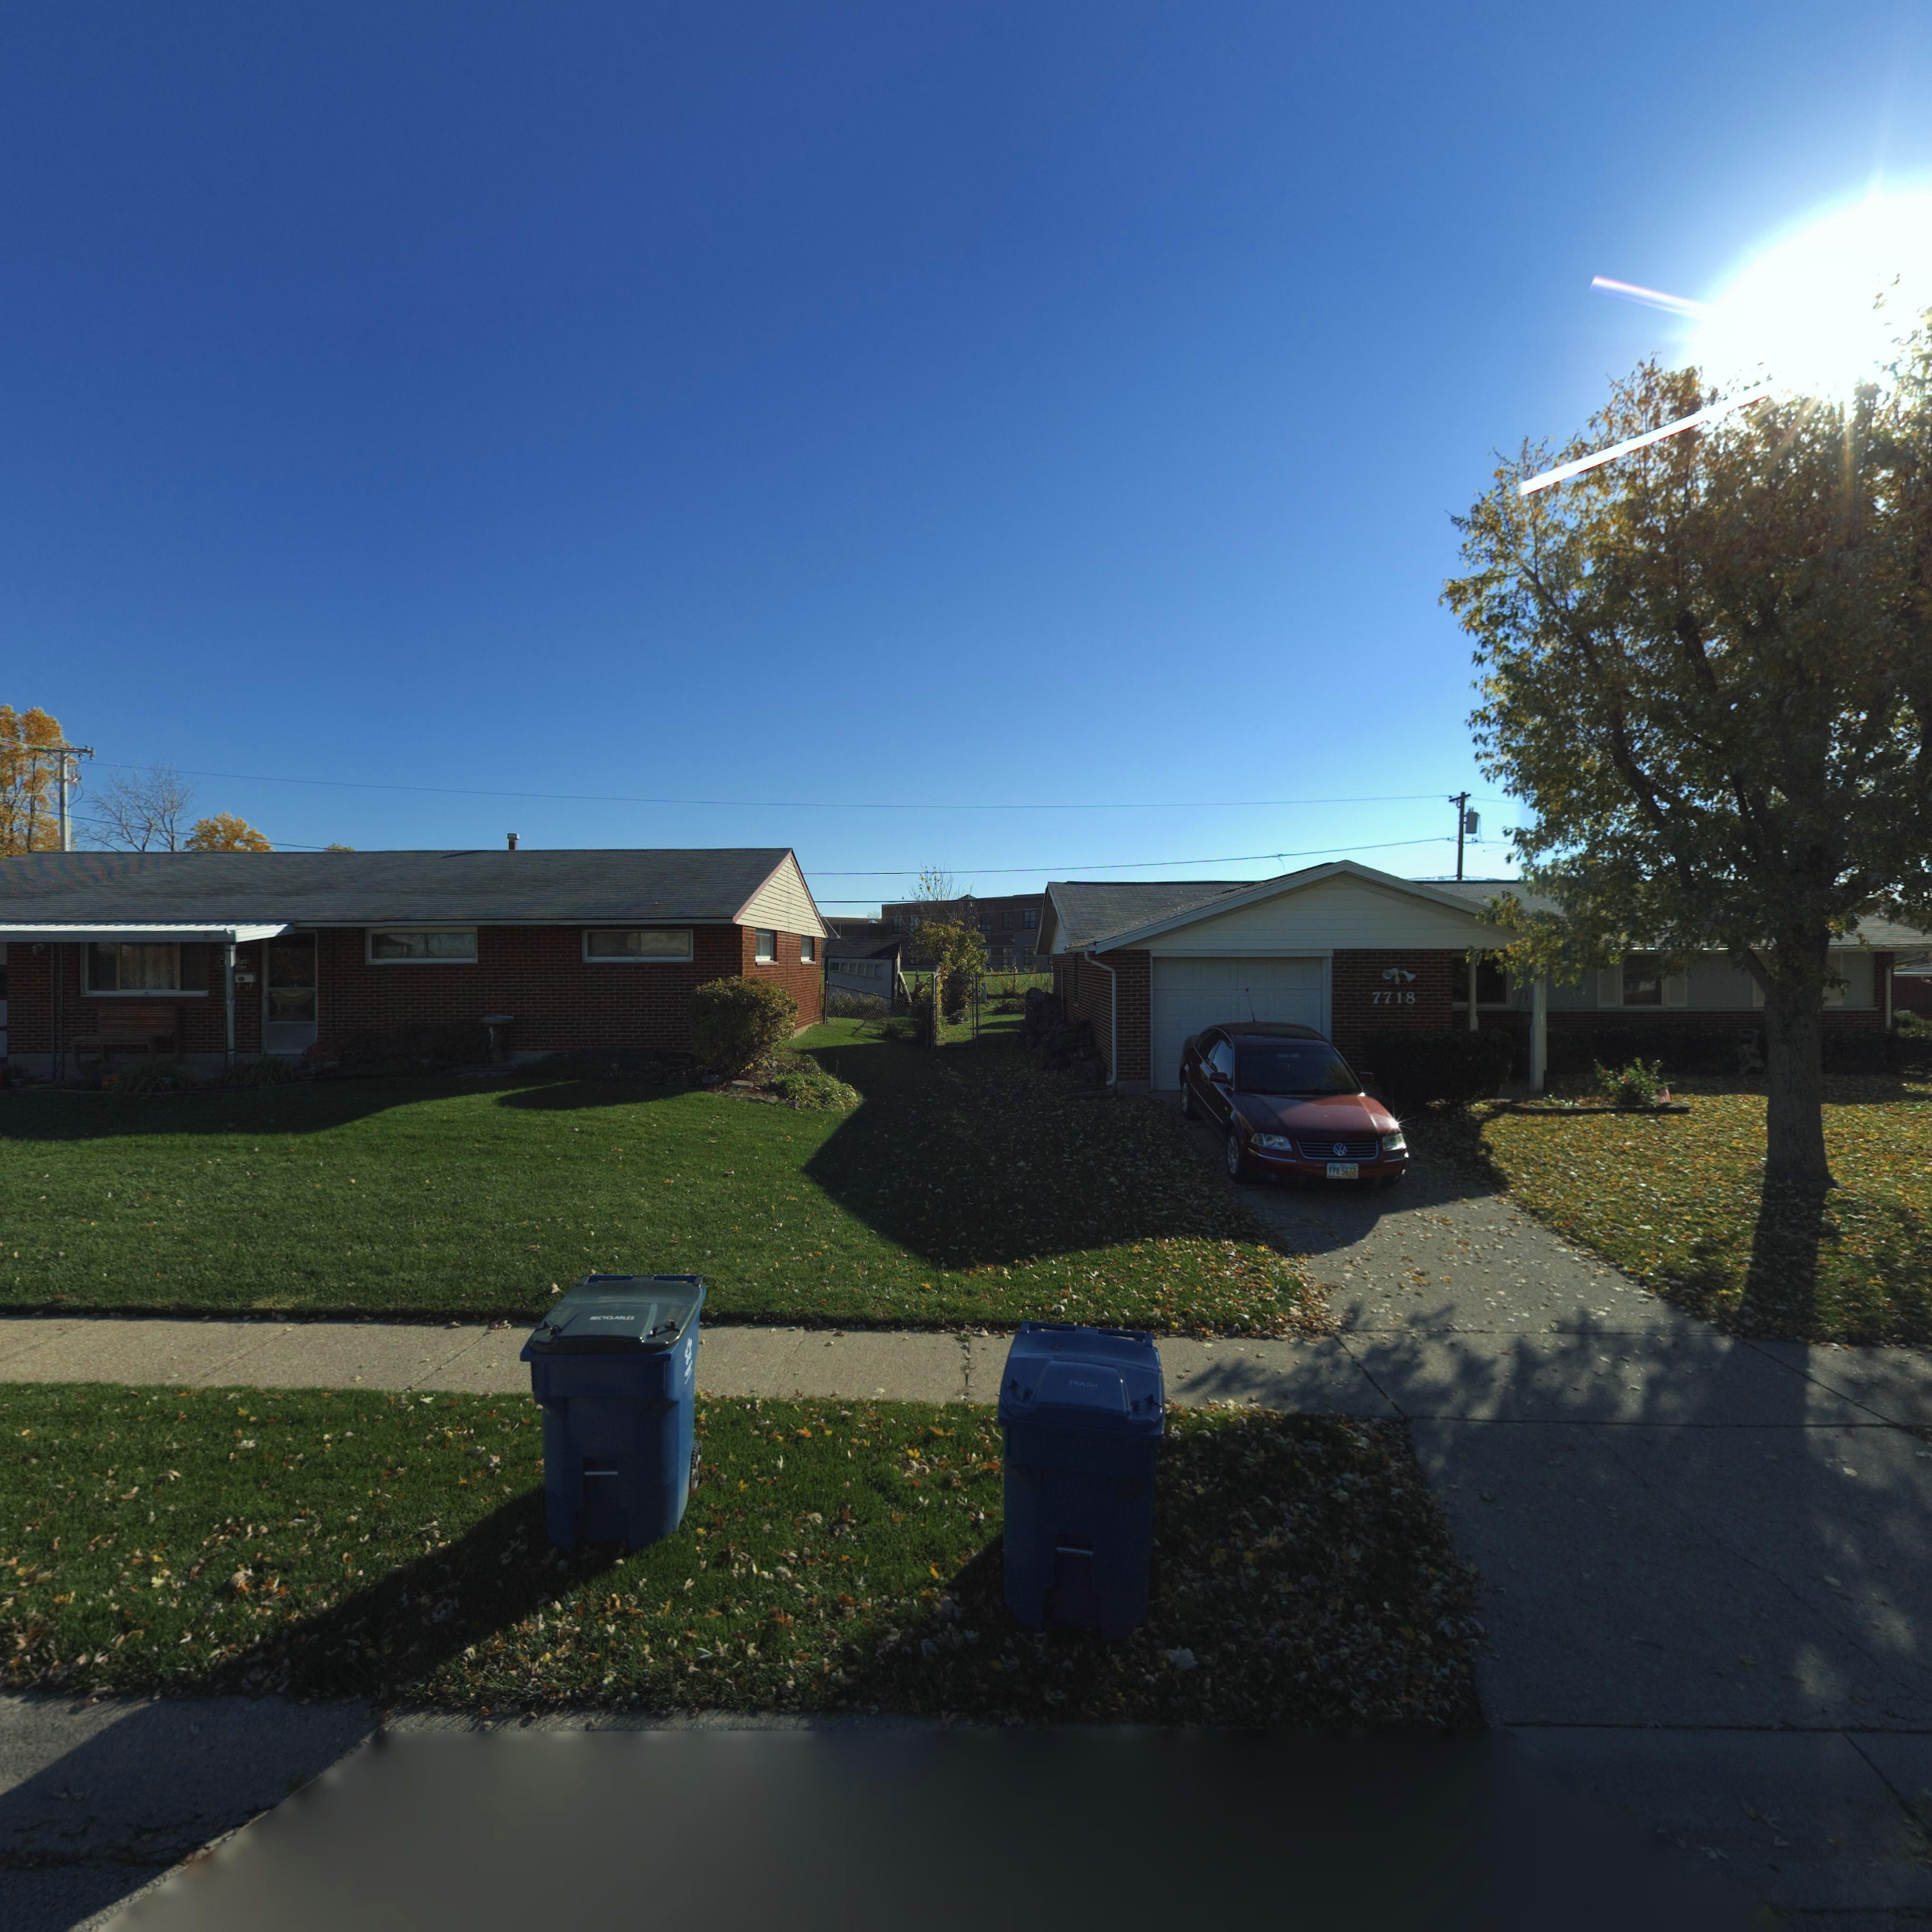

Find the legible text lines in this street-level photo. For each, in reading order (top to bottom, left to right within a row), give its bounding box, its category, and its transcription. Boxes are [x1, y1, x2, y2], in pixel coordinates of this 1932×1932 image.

[234, 965, 247, 968] StreetNumber: 7*4
[1371, 991, 1416, 1005] StreetNumber: 7718